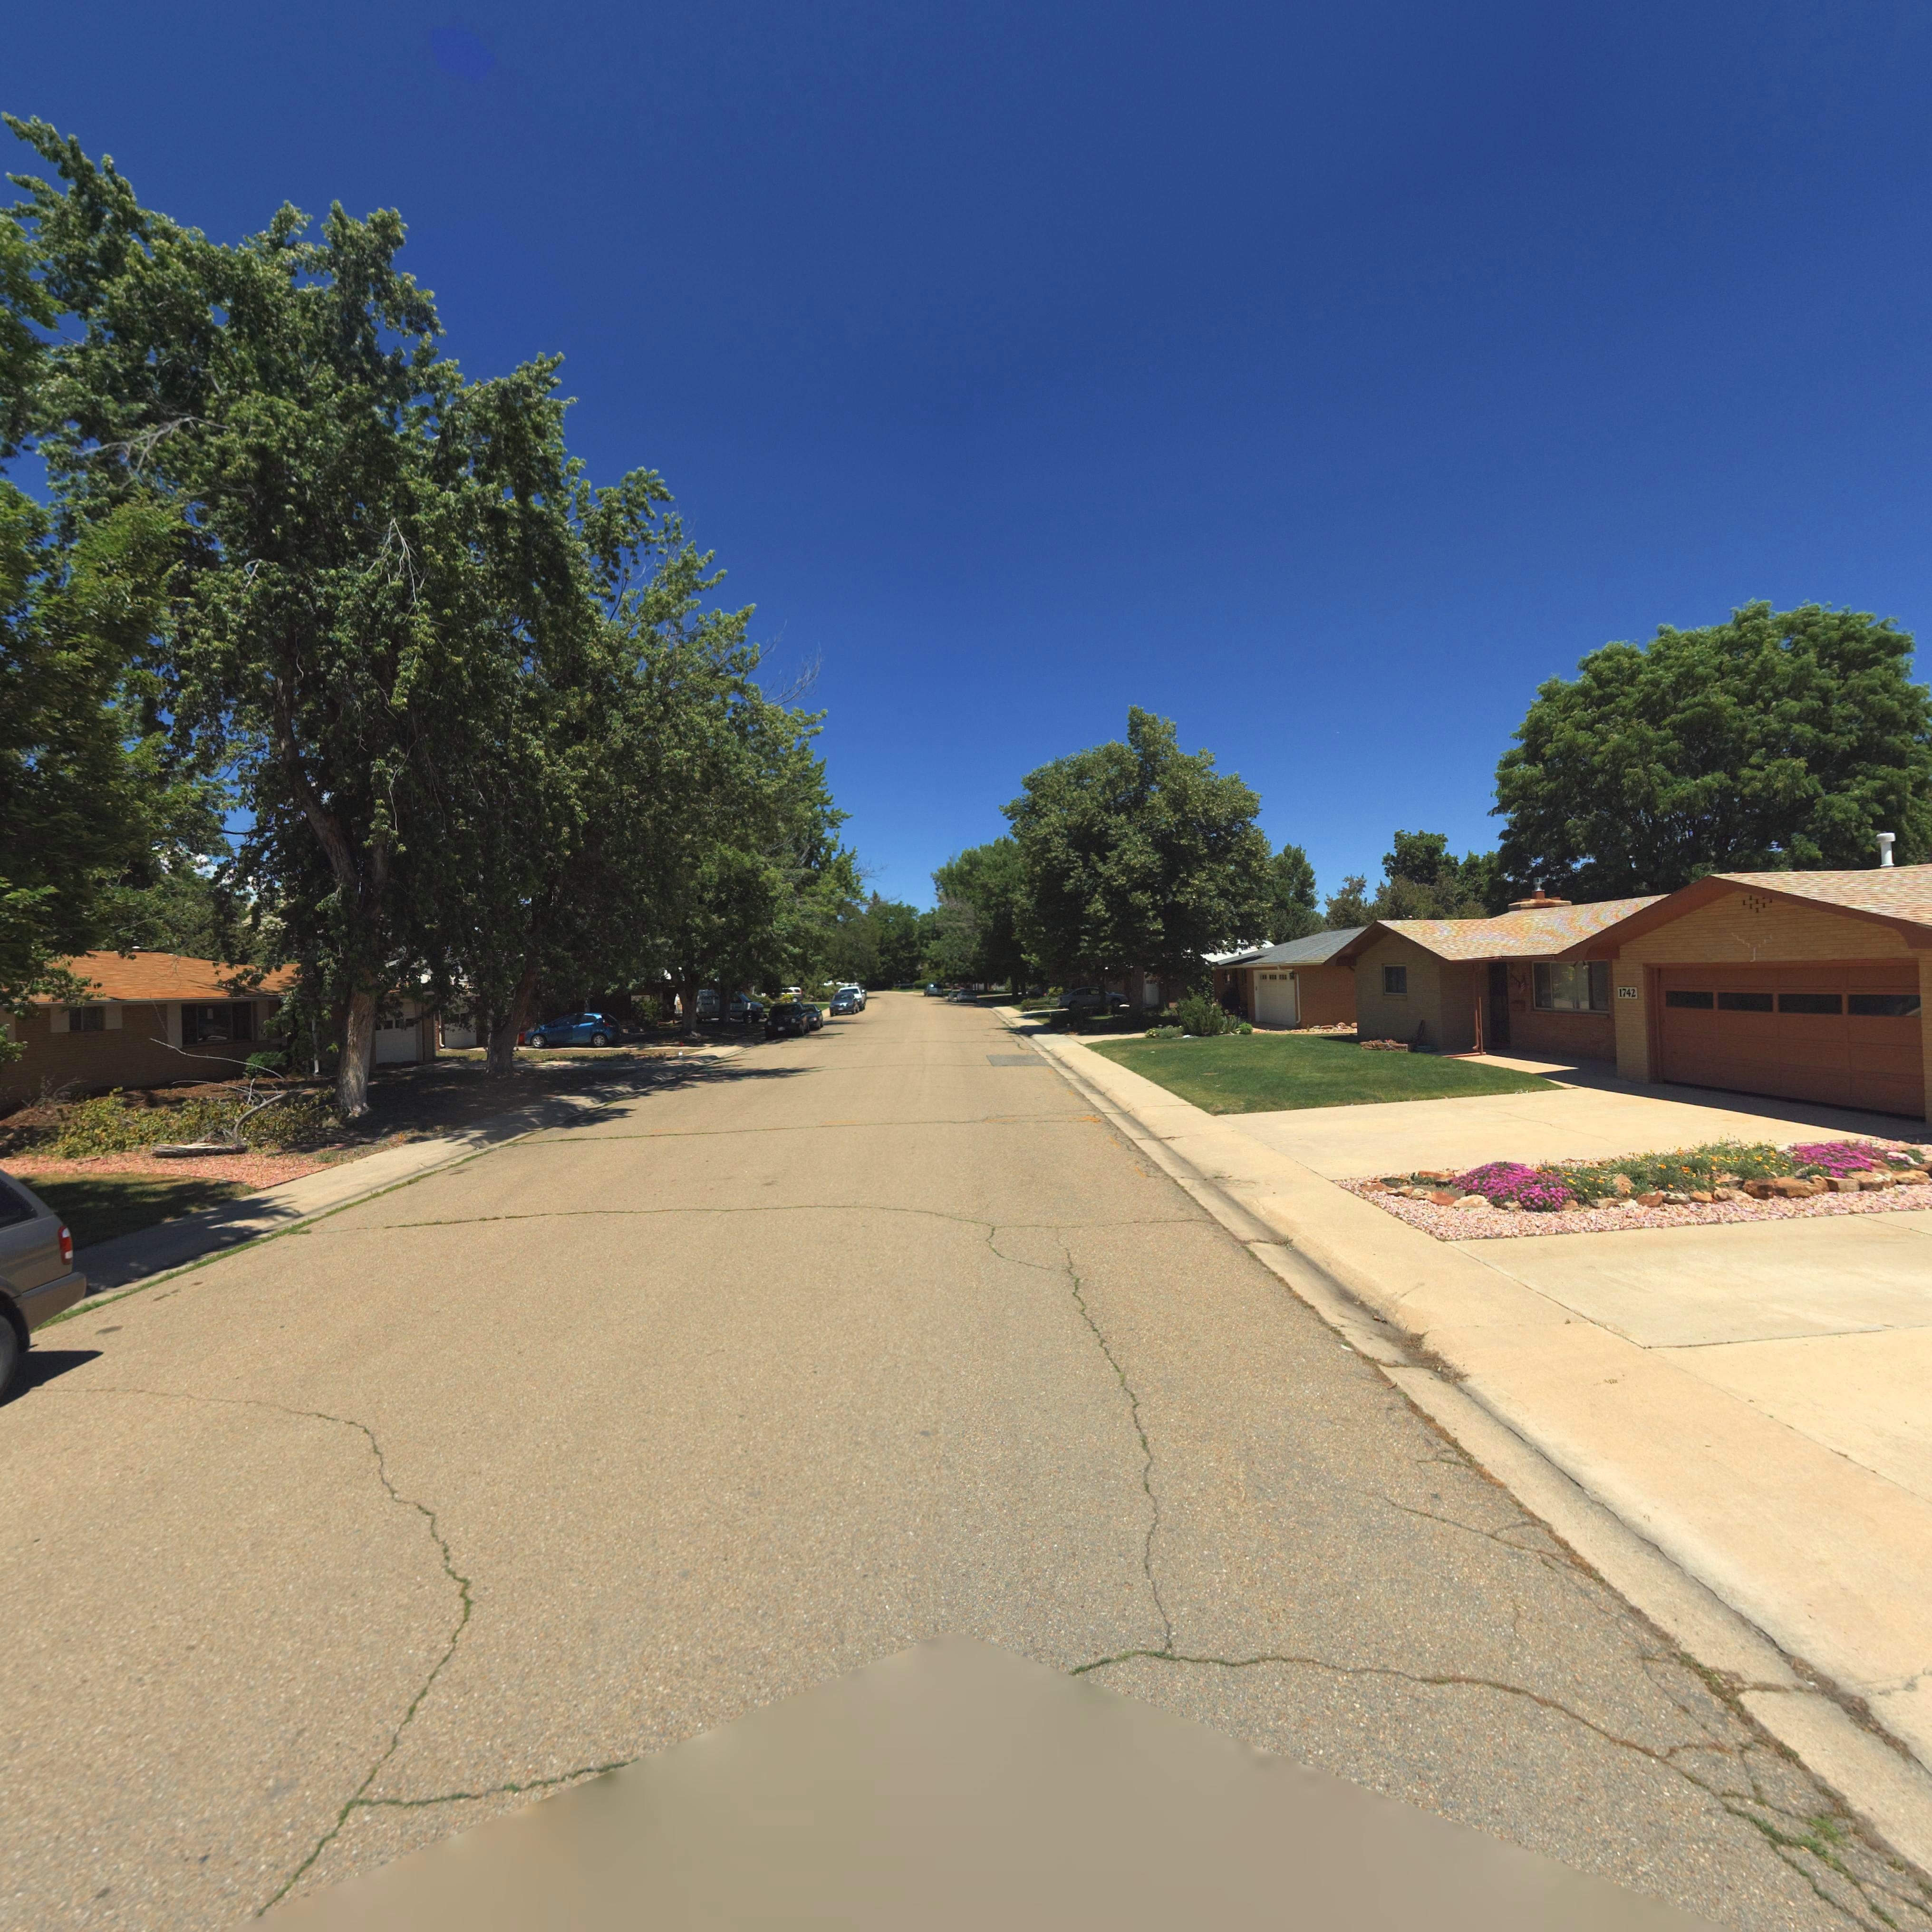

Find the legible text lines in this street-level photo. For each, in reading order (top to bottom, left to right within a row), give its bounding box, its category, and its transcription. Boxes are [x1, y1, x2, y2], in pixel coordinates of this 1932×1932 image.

[1619, 988, 1636, 997] StreetNumber: 1742